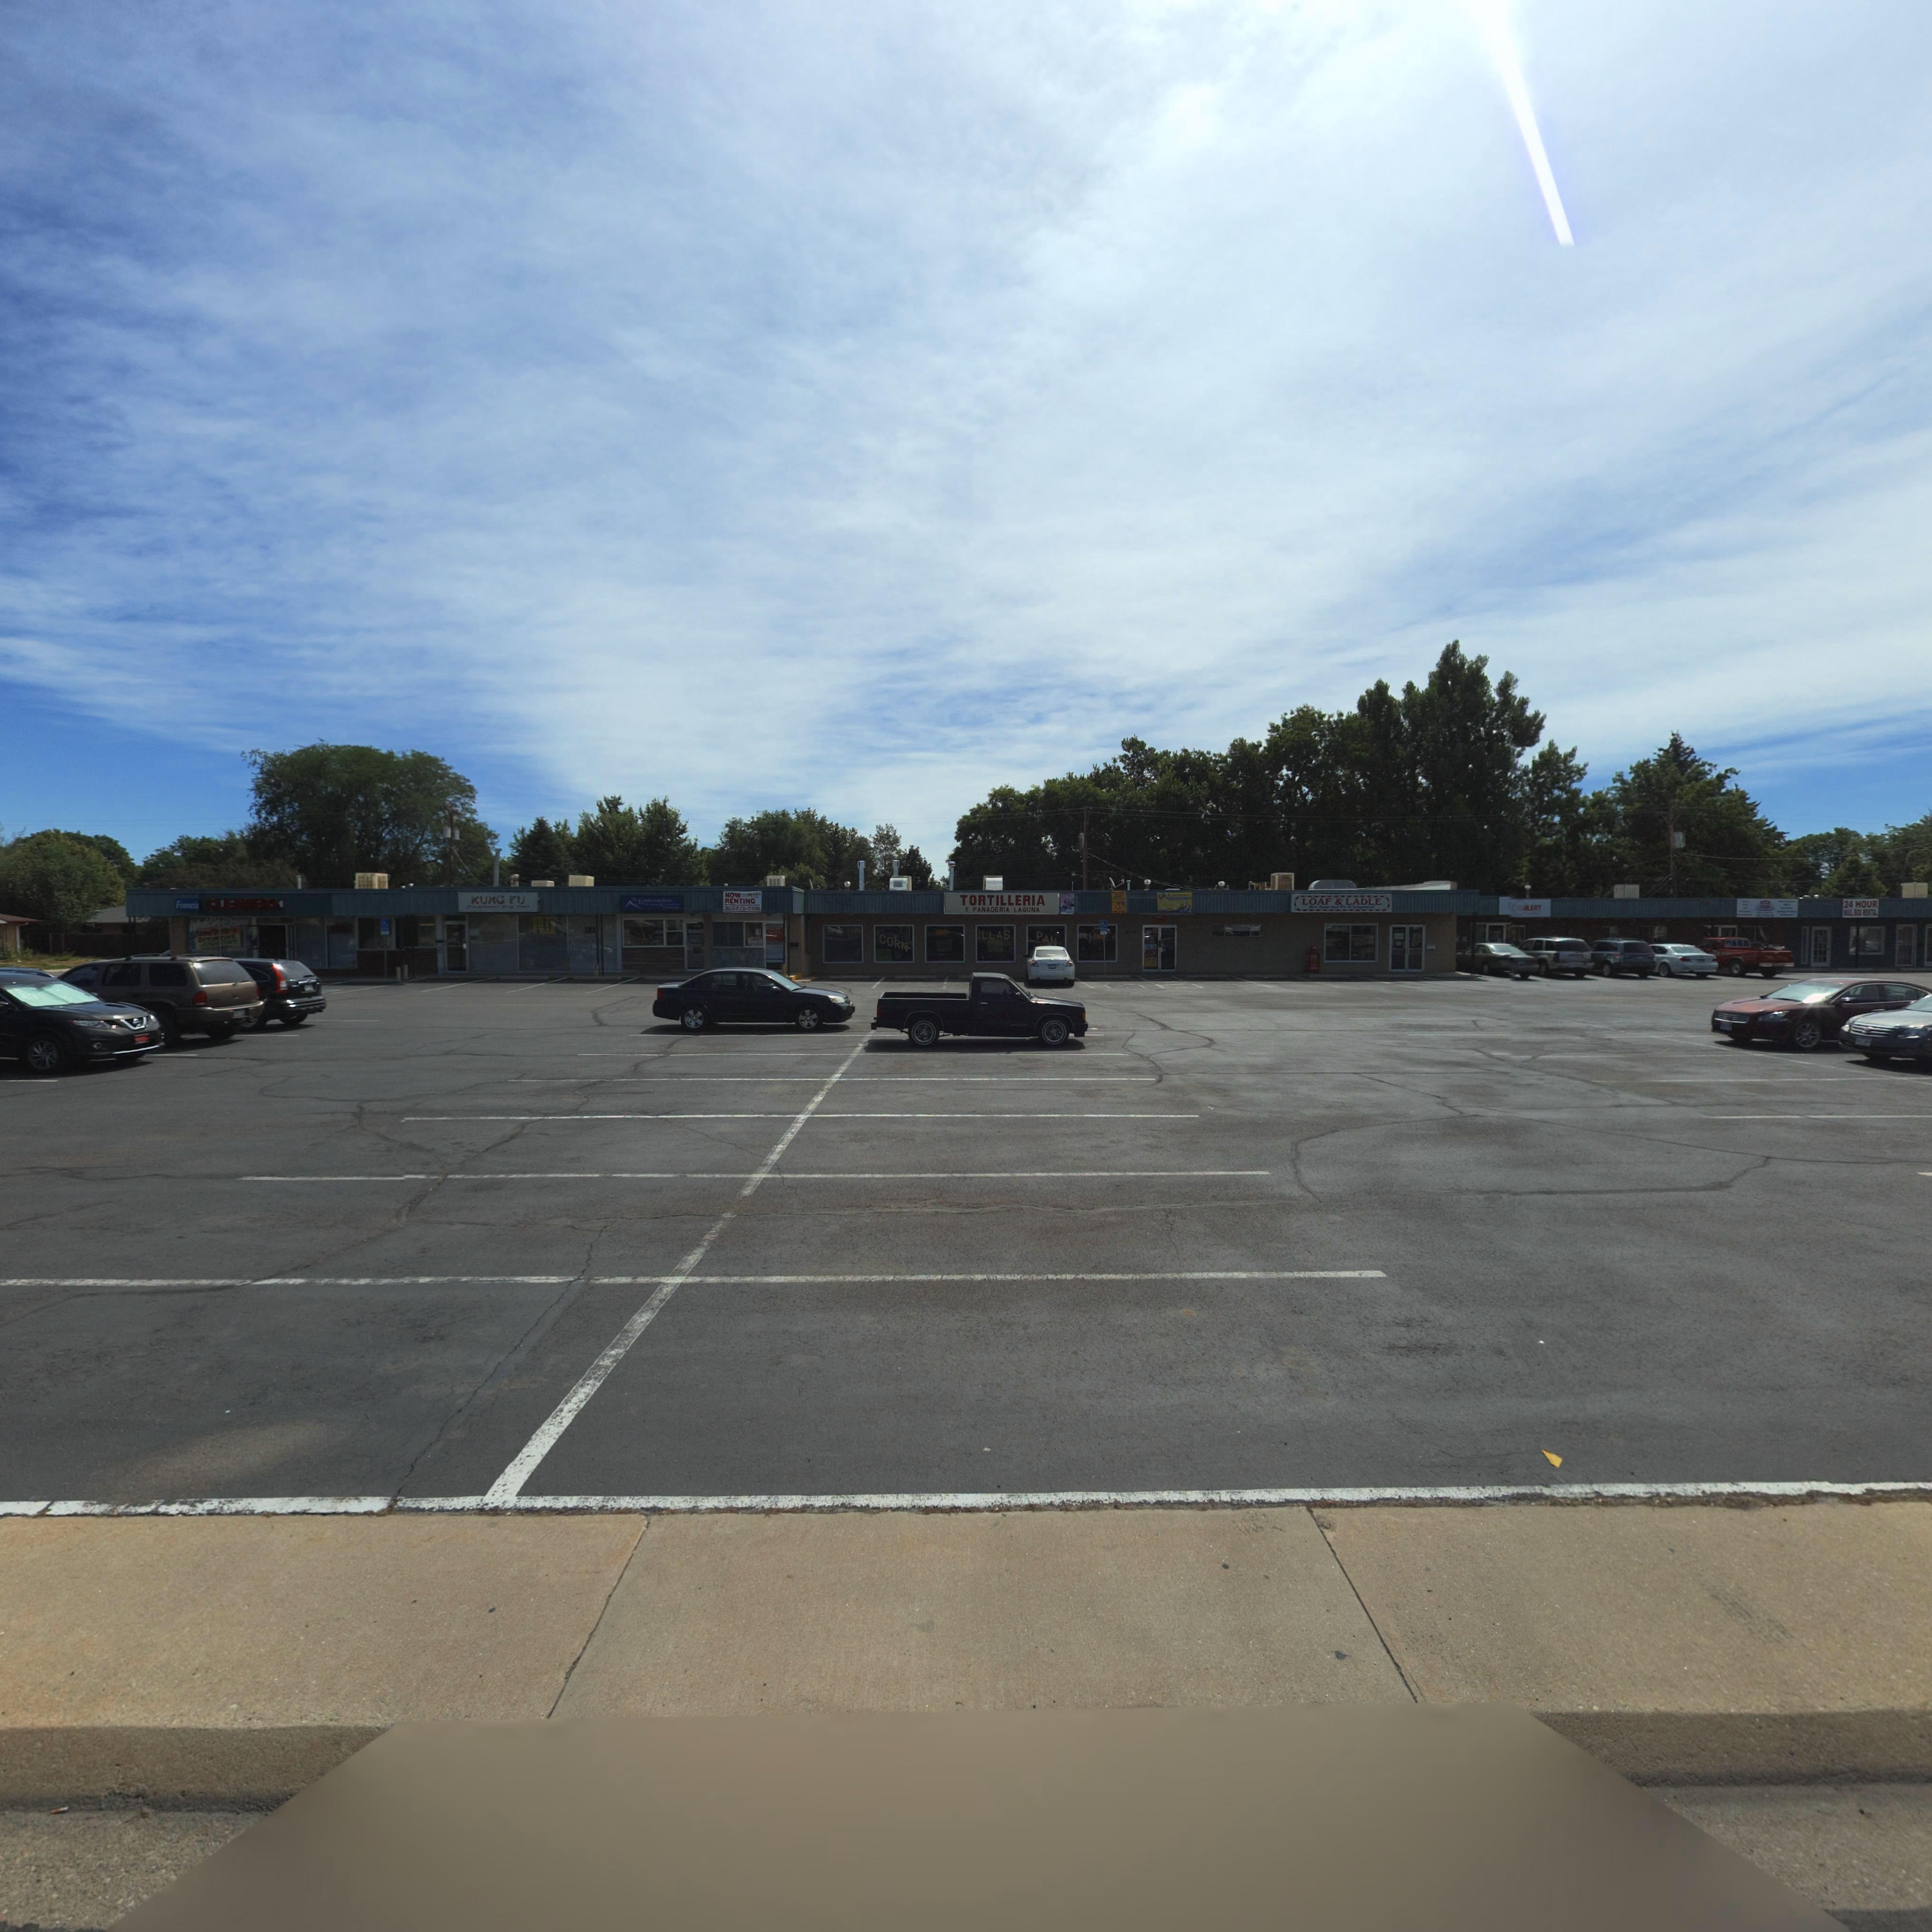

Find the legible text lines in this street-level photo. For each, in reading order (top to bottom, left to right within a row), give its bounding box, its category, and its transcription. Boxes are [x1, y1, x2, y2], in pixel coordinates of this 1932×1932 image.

[175, 901, 199, 909] BusinessName: Francis
[205, 897, 280, 912] BusinessName: CLEANERS
[471, 895, 525, 904] BusinessName: KUNG FU
[638, 898, 672, 905] BusinessName: LONGMONT
[959, 894, 1045, 906] BusinessName: TORTILLERIA
[965, 907, 1040, 912] BusinessName: Y PANADERIA LAGUNA
[1302, 898, 1382, 905] BusinessName: LOAF & LADLE
[1522, 904, 1541, 911] BusinessName: ALERT
[1843, 909, 1878, 916] BusinessName: ******* RENTAL